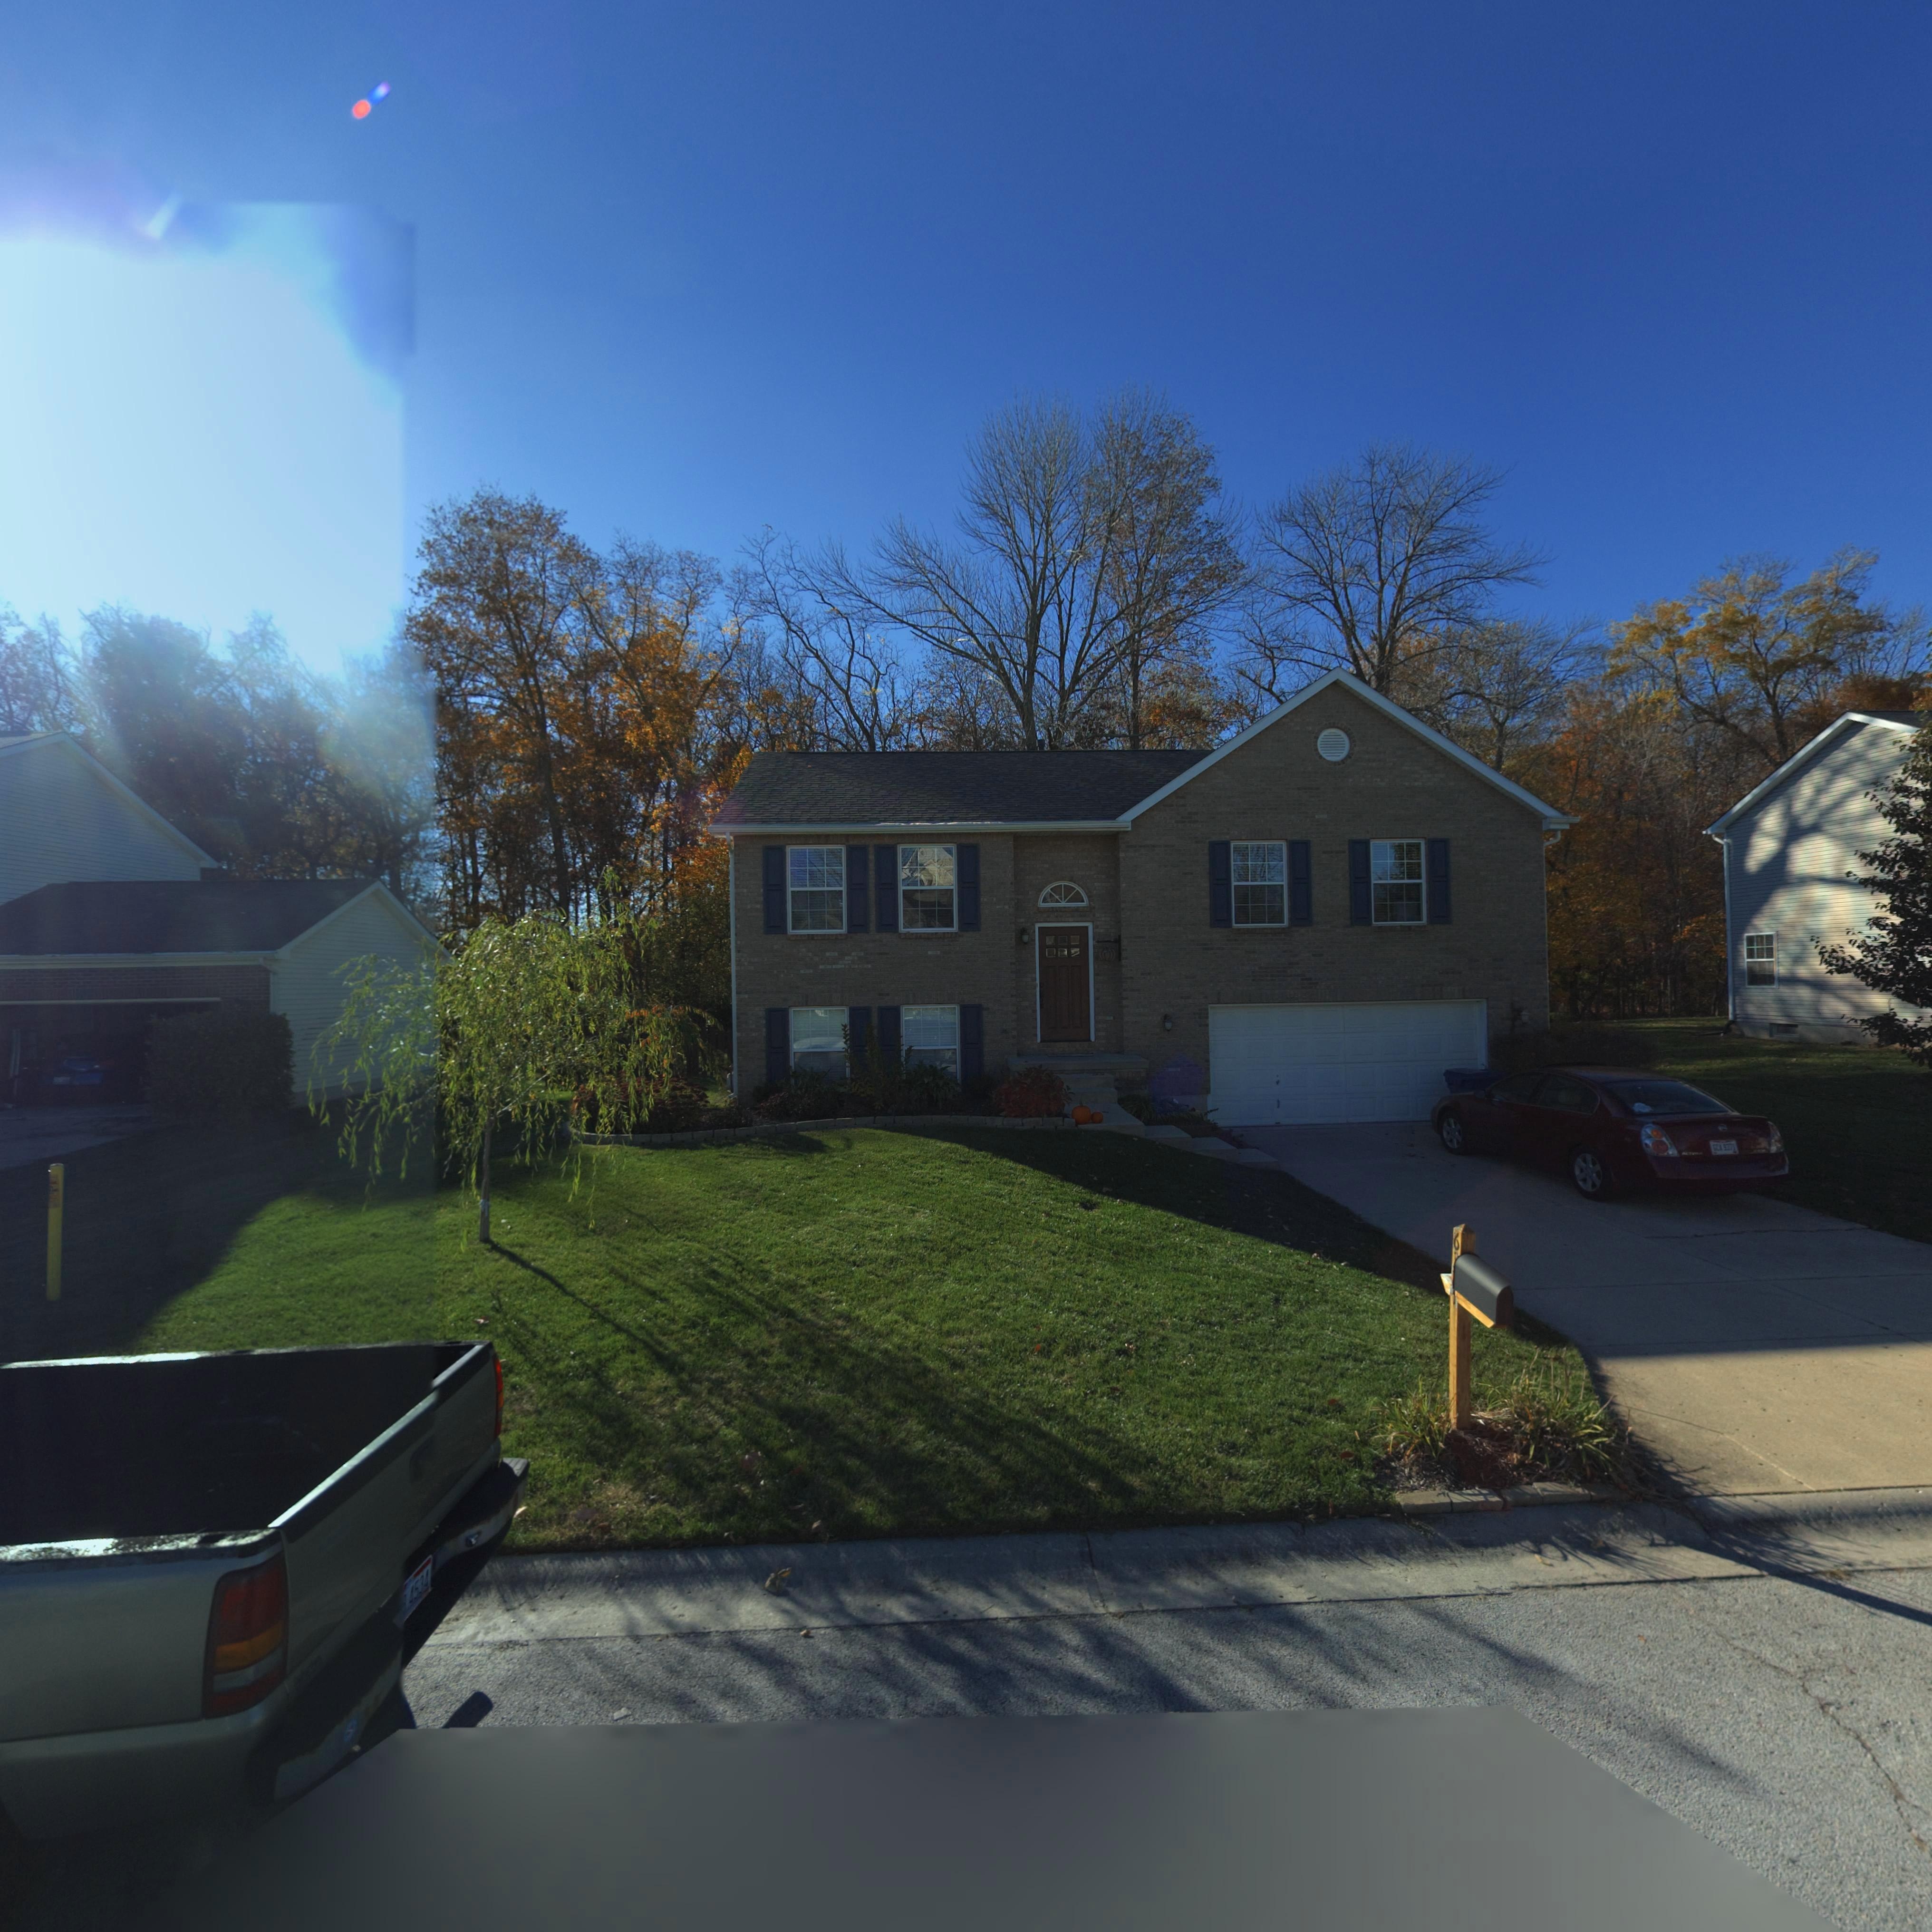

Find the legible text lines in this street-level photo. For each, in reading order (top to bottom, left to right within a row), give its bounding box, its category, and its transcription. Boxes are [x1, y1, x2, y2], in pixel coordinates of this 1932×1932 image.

[1453, 1232, 1460, 1251] StreetNumber: 6